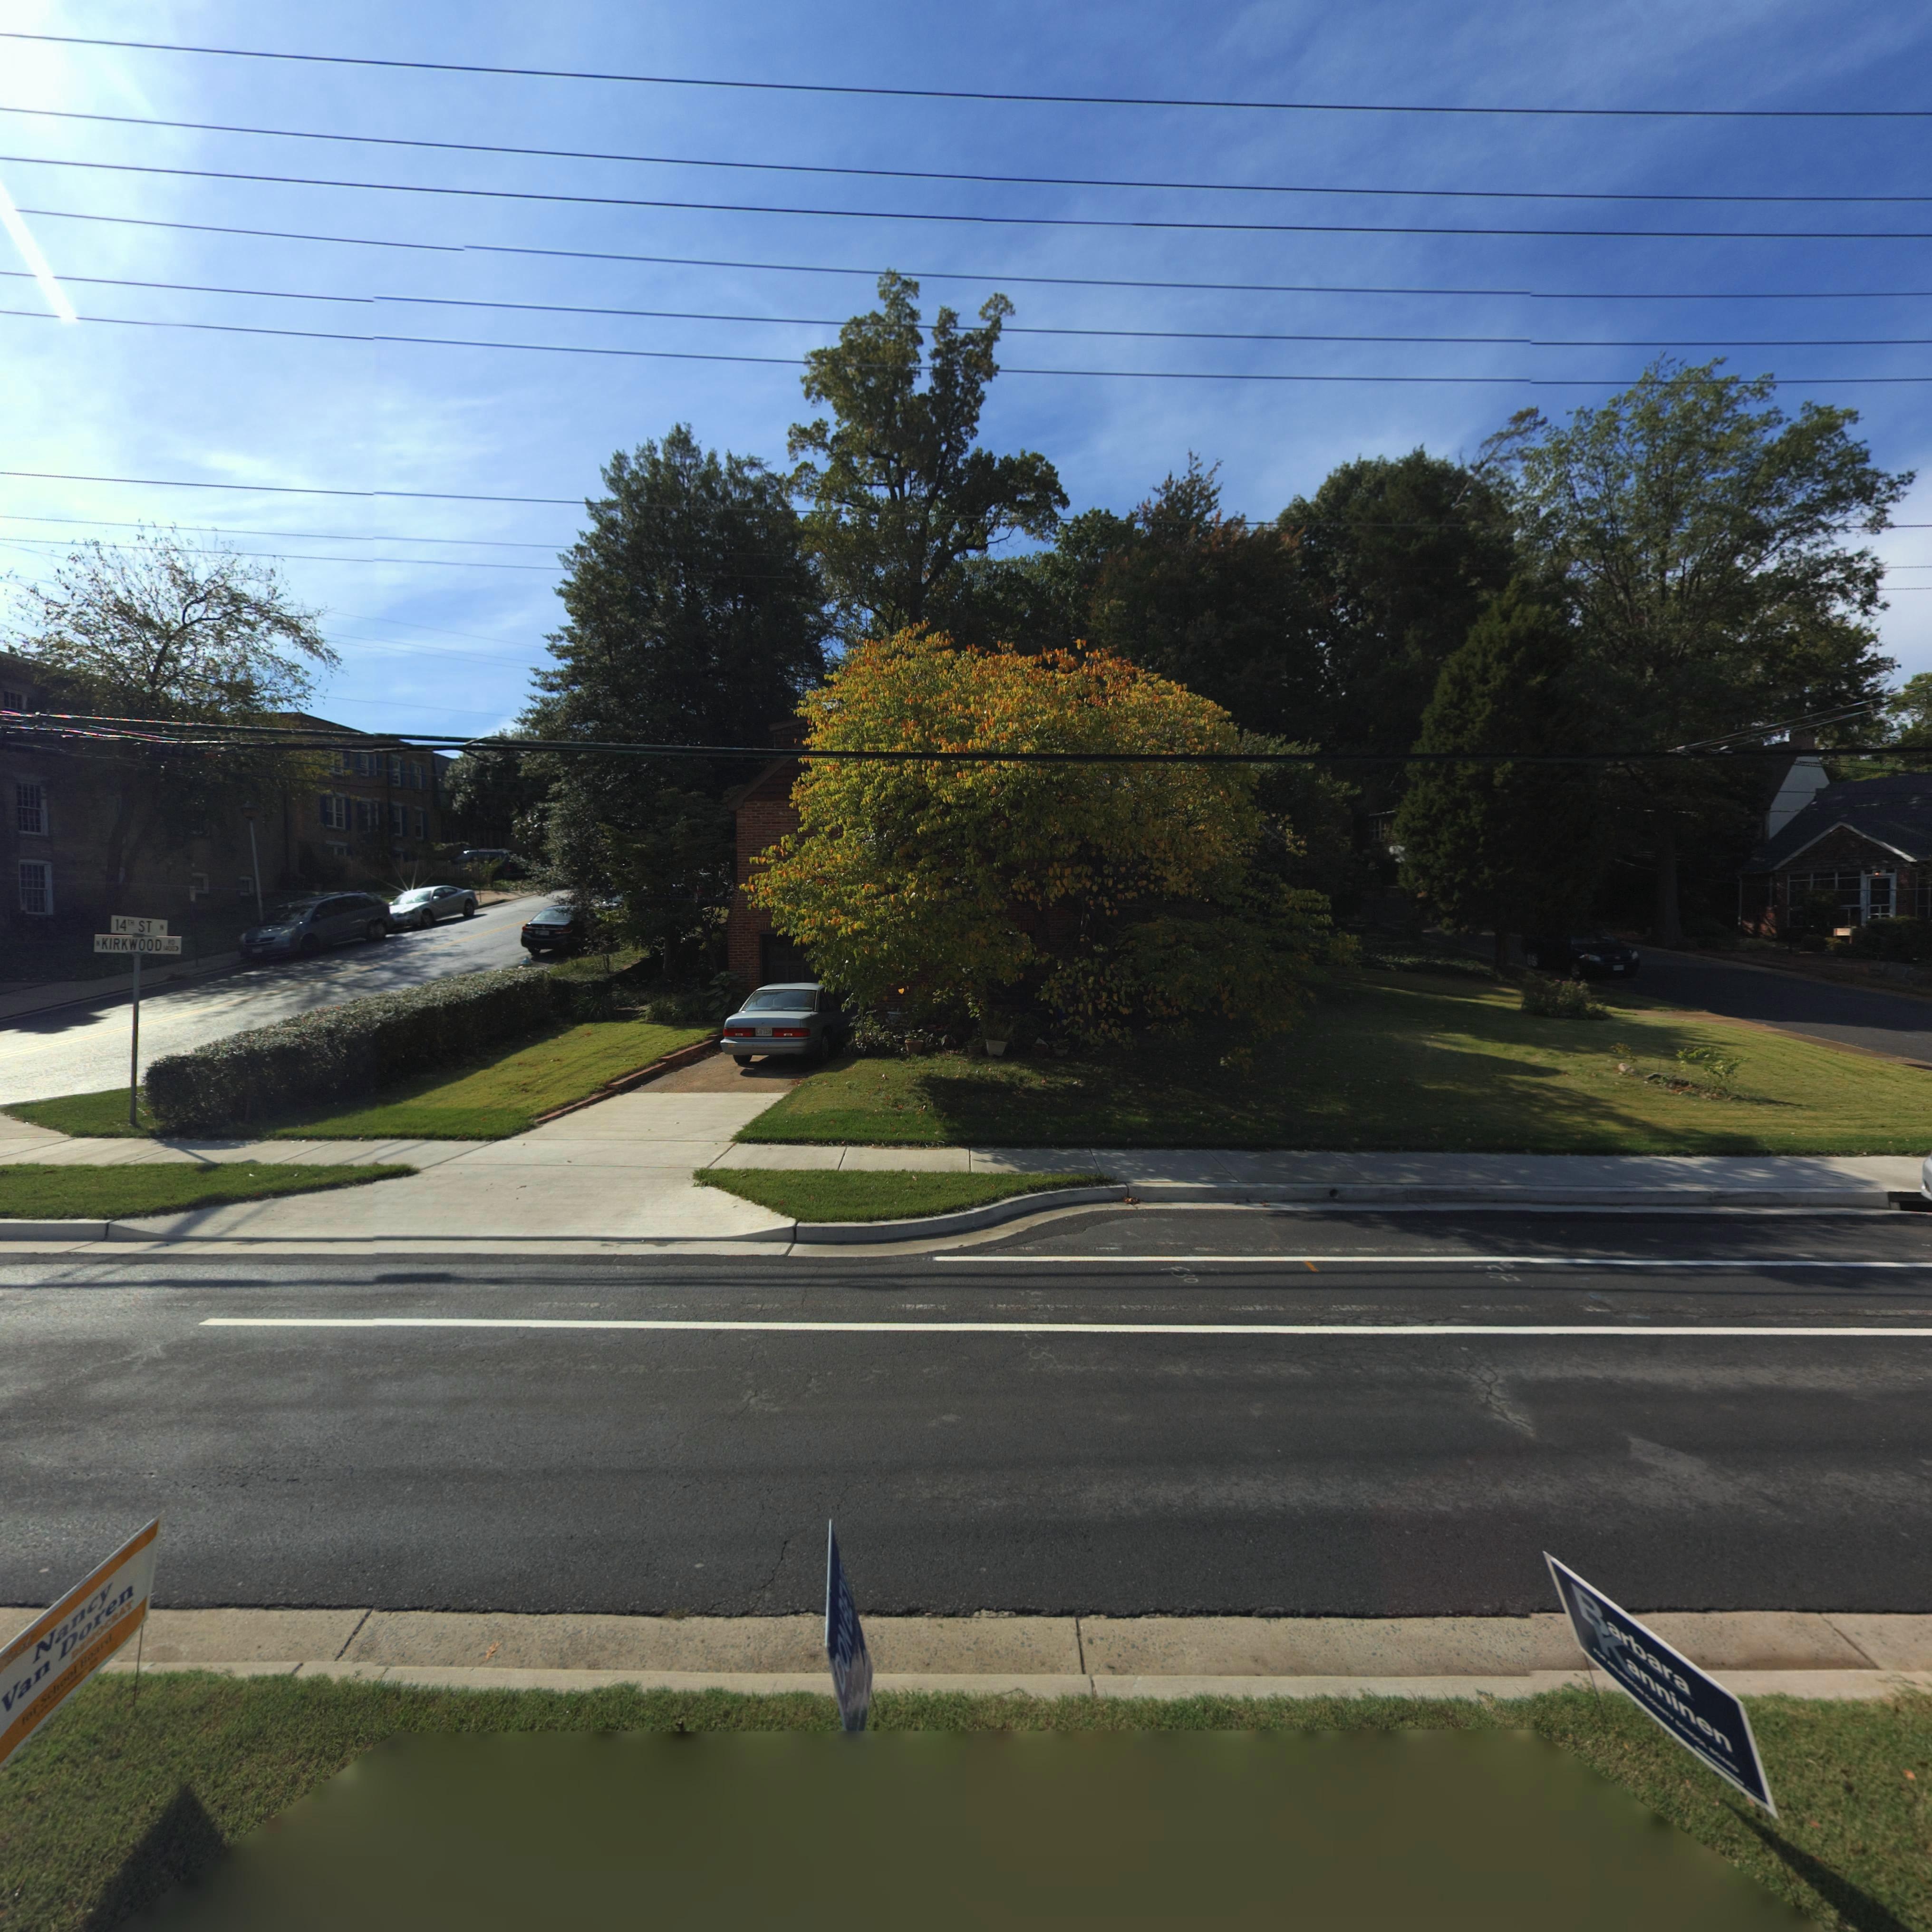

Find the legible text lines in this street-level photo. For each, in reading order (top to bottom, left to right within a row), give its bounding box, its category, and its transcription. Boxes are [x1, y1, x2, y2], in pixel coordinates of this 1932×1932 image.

[101, 937, 176, 952] StreetName: KIRKWOOD RD
[115, 918, 164, 933] StreetName: 14TH ST N
[163, 945, 180, 952] StreetNumberRange: 1400->
[756, 1029, 772, 1034] None: CJE 3258
[20, 1631, 113, 1729] None: for School Board
[0, 1584, 134, 1715] None: Van Doren
[31, 1581, 114, 1667] None: Nancy
[70, 1597, 135, 1662] None: DEMOCRAT
[833, 1583, 853, 1699] None: DON BE
[1571, 1582, 1692, 1697] None: Barbara
[1625, 1658, 1733, 1755] None: anninen